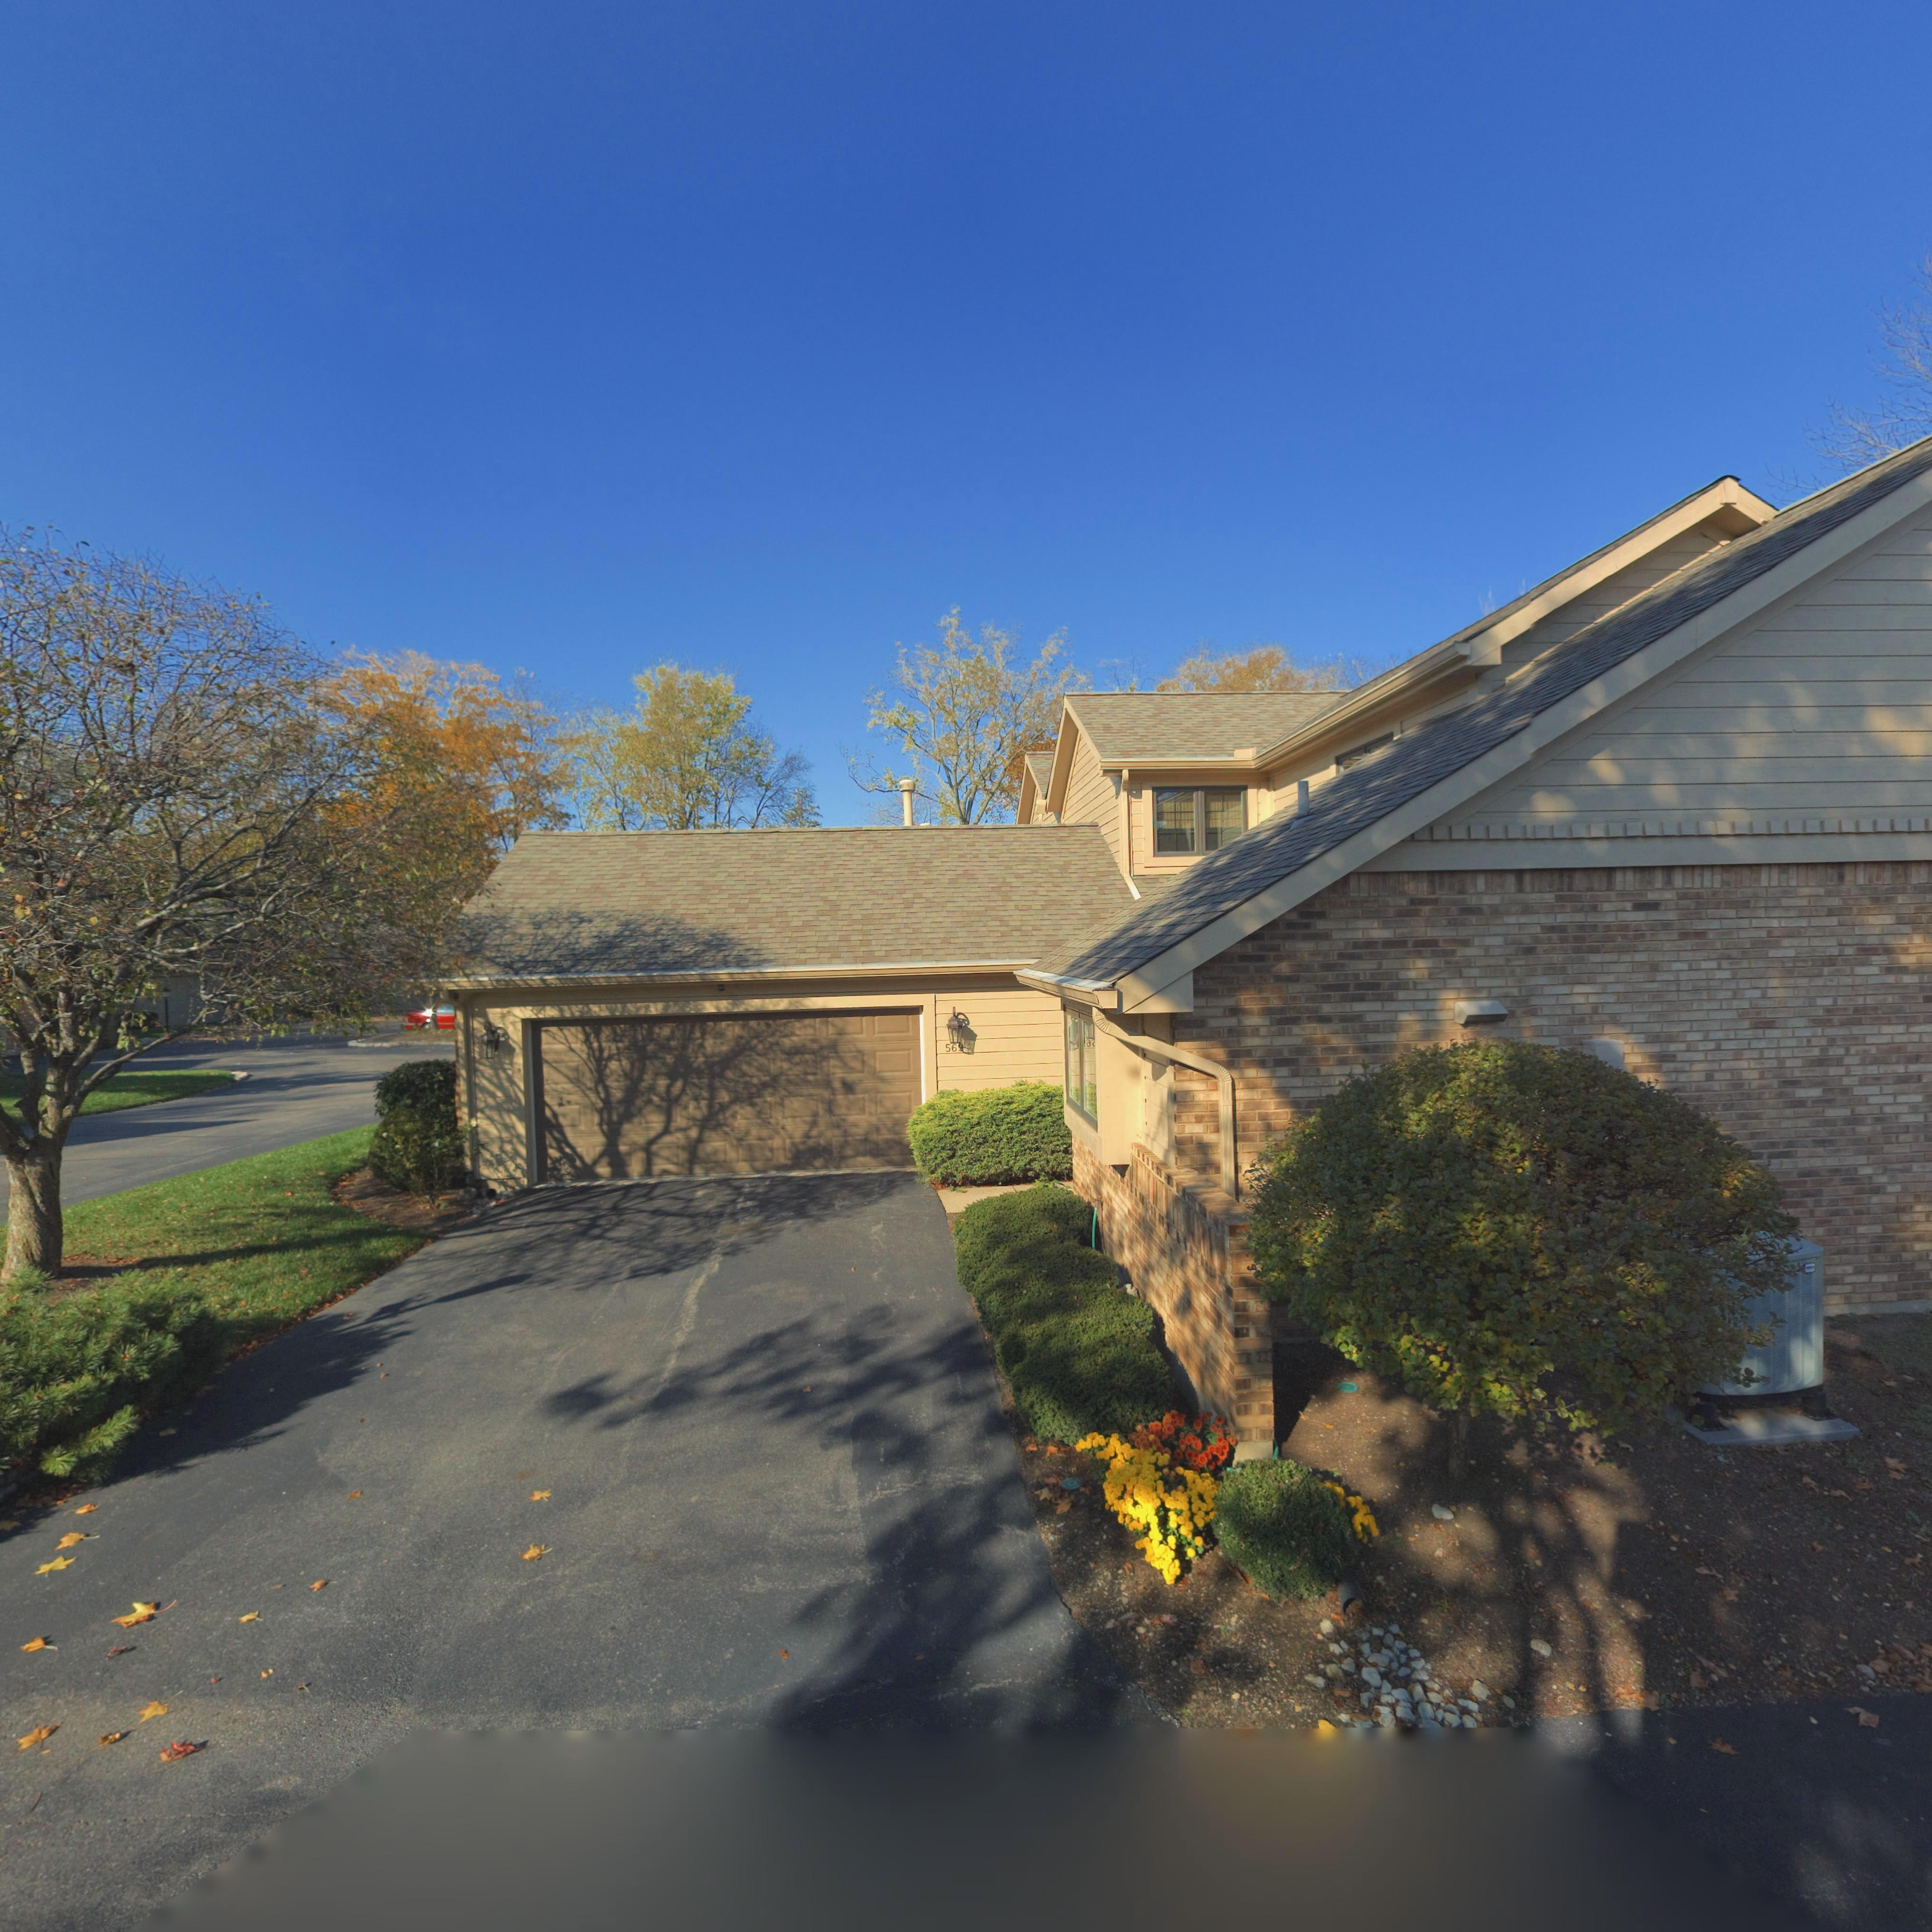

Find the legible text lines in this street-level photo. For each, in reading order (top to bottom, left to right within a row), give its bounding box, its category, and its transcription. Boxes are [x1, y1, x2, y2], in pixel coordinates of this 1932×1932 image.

[945, 1043, 964, 1053] StreetNumber: 569